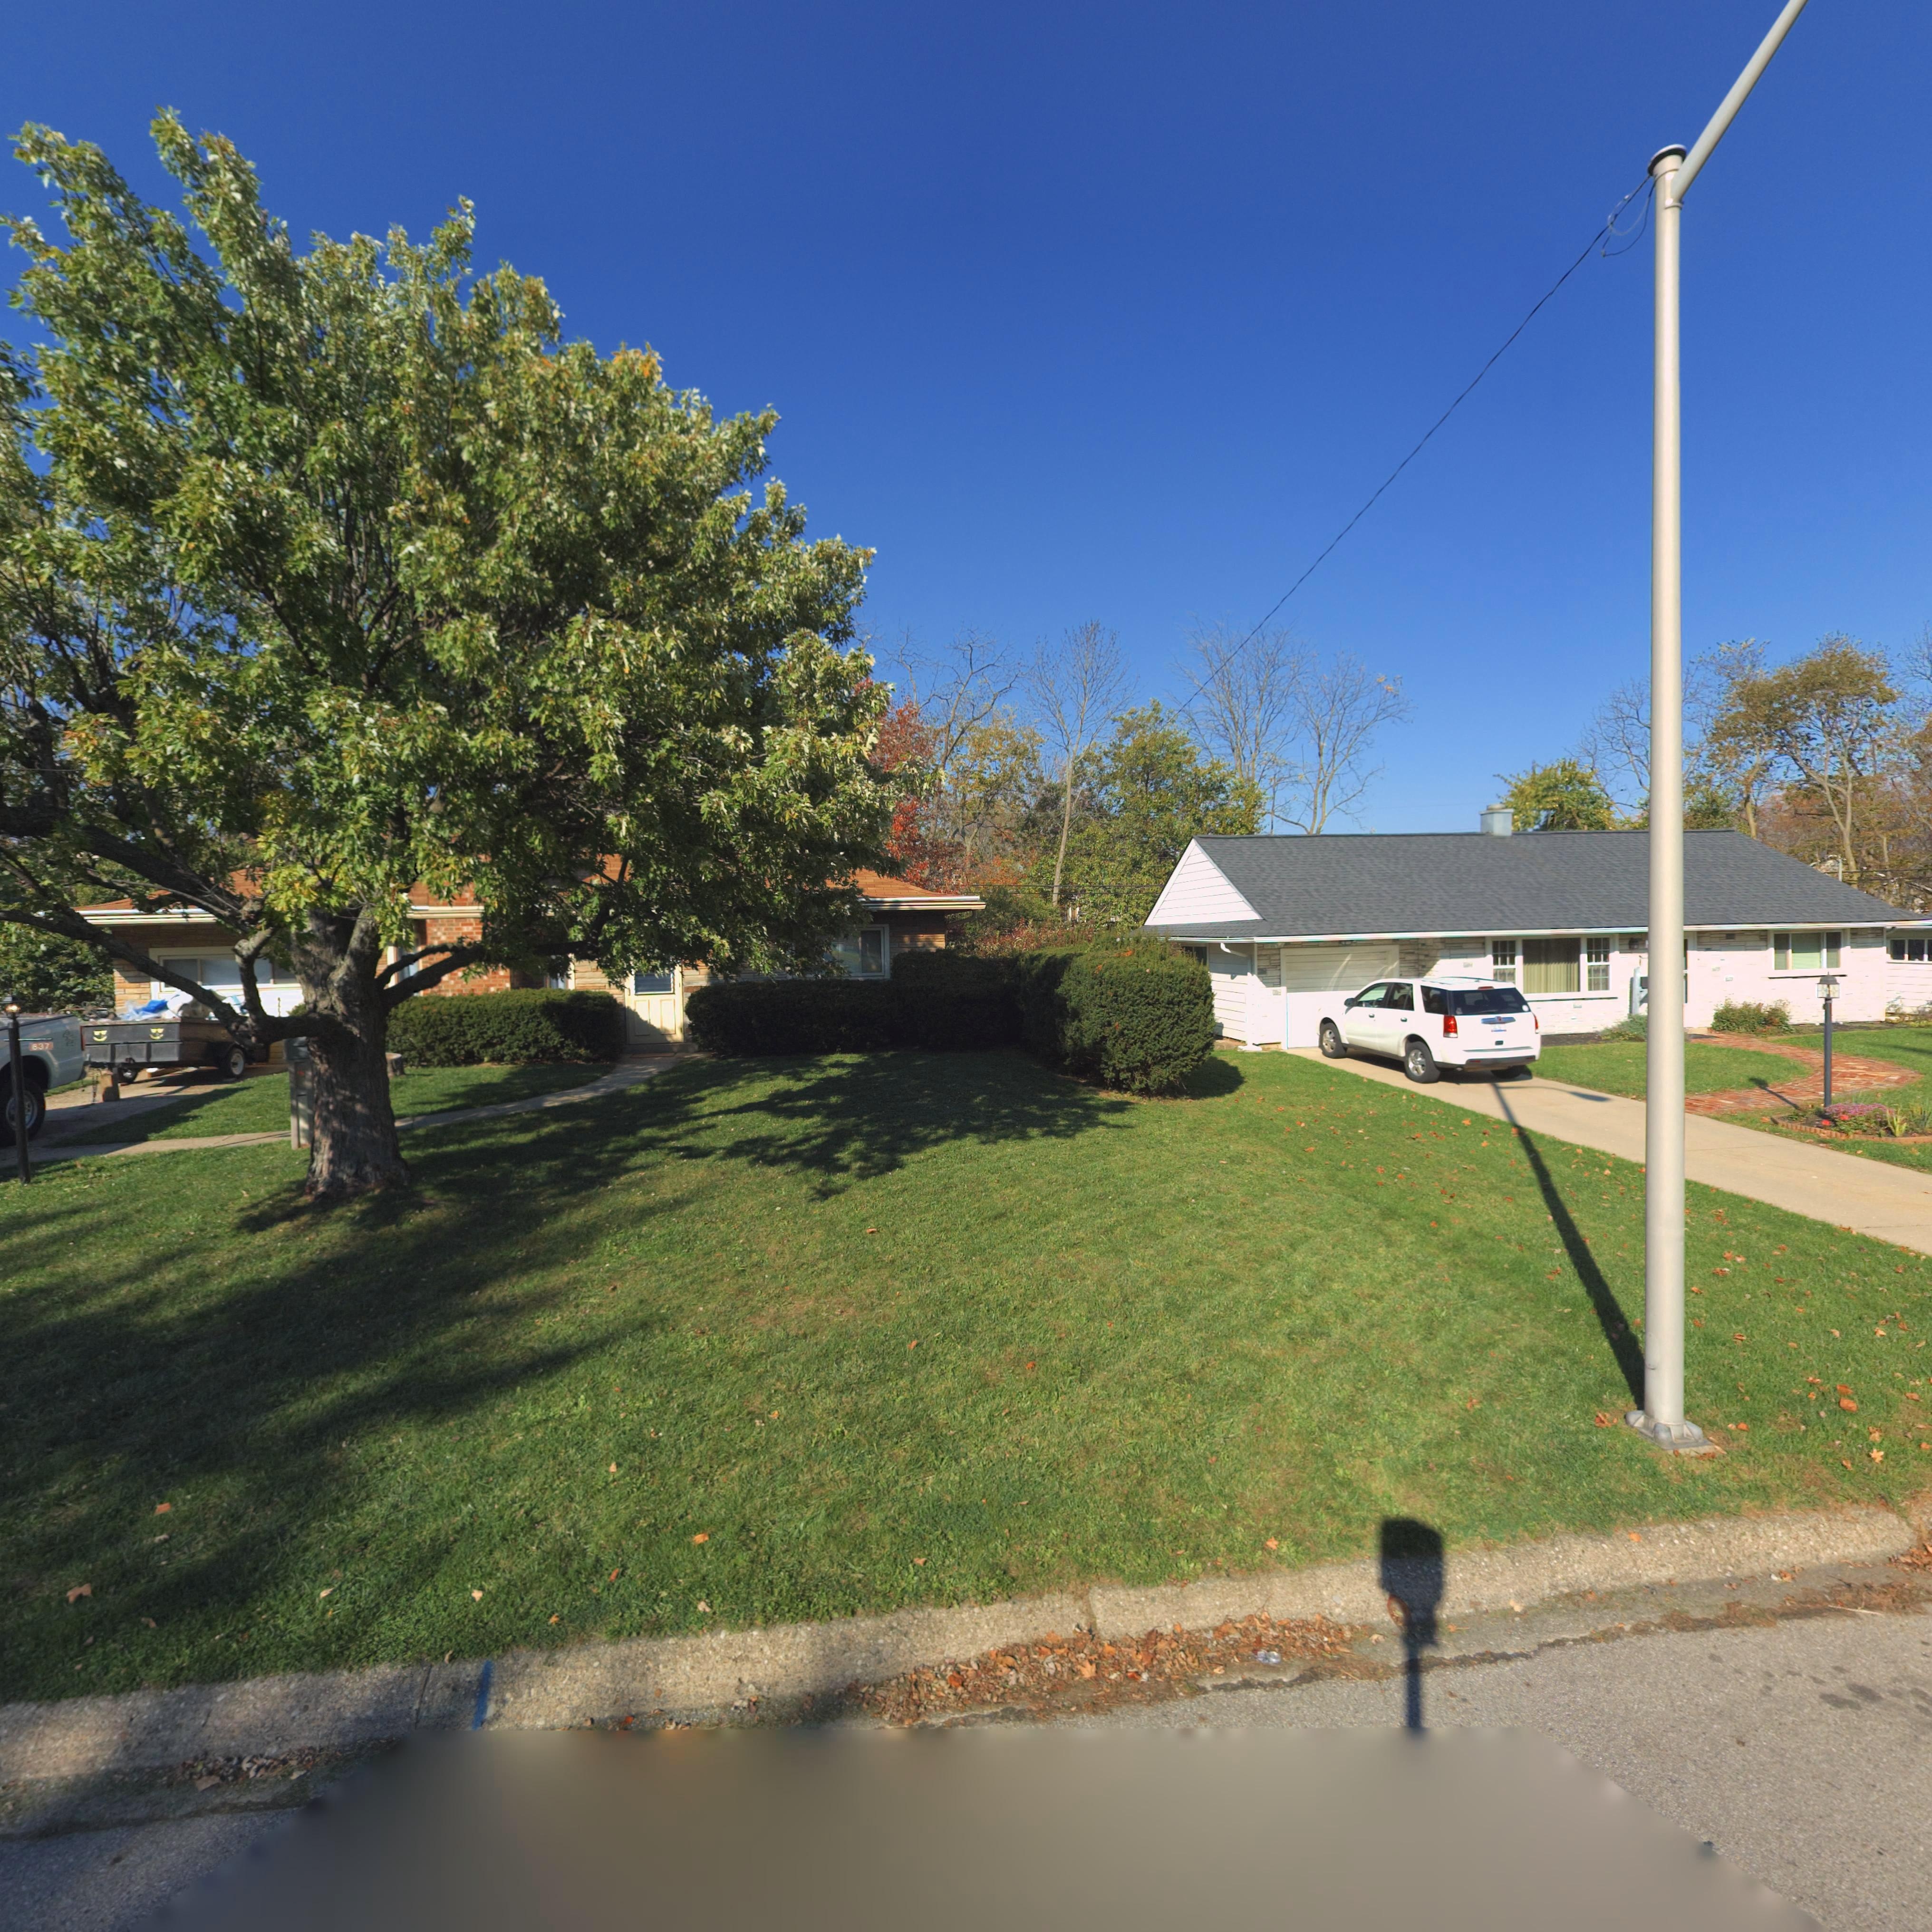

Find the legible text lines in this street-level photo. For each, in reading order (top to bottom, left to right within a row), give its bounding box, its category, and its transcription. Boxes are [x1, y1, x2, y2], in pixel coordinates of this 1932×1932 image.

[31, 1043, 50, 1050] StreetNumber: 837